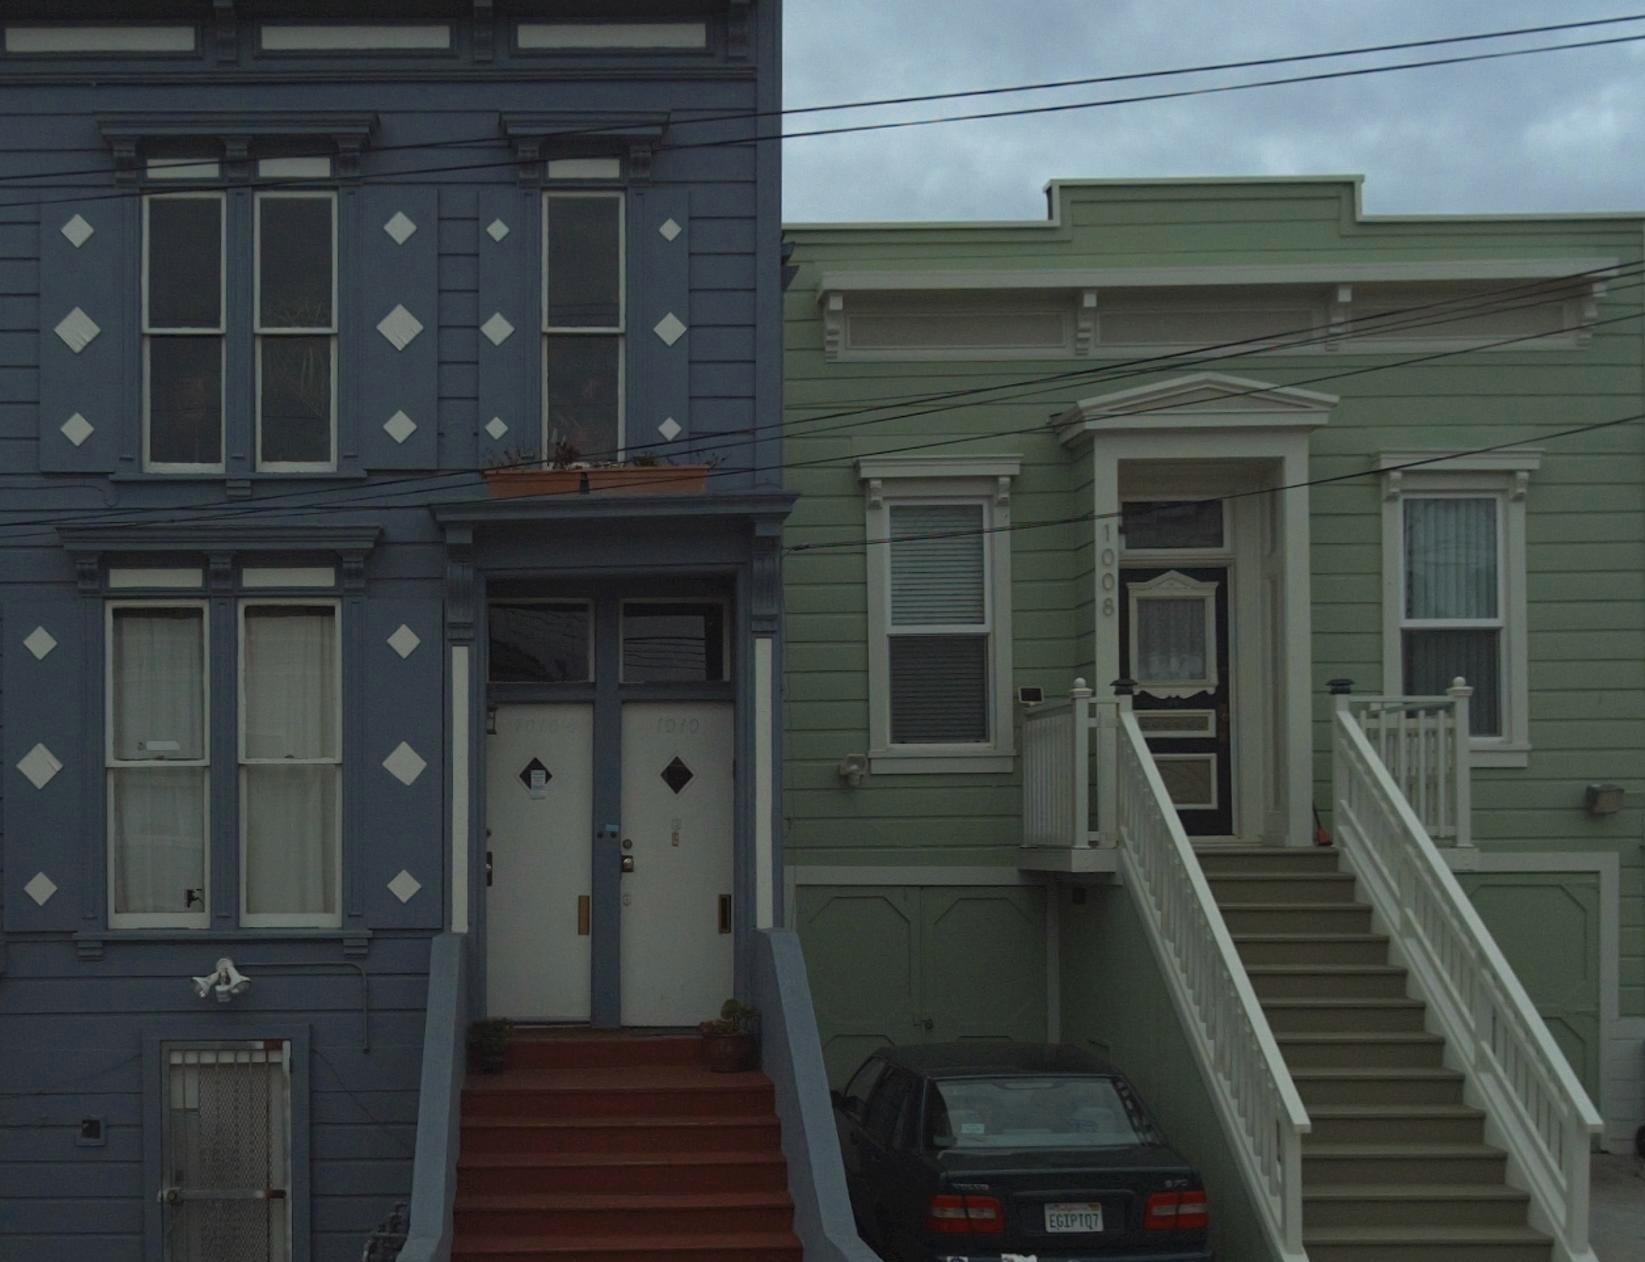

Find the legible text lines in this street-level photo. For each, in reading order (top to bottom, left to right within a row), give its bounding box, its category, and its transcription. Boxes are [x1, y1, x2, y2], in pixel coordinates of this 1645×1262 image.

[1099, 522, 1117, 618] StreetNumber: 1008
[513, 717, 562, 735] StreetNumber: 1010
[655, 716, 699, 735] StreetNumber: 1010
[950, 1182, 989, 1192] None: VOLVO
[1047, 1212, 1100, 1230] None: EGIPTQ7